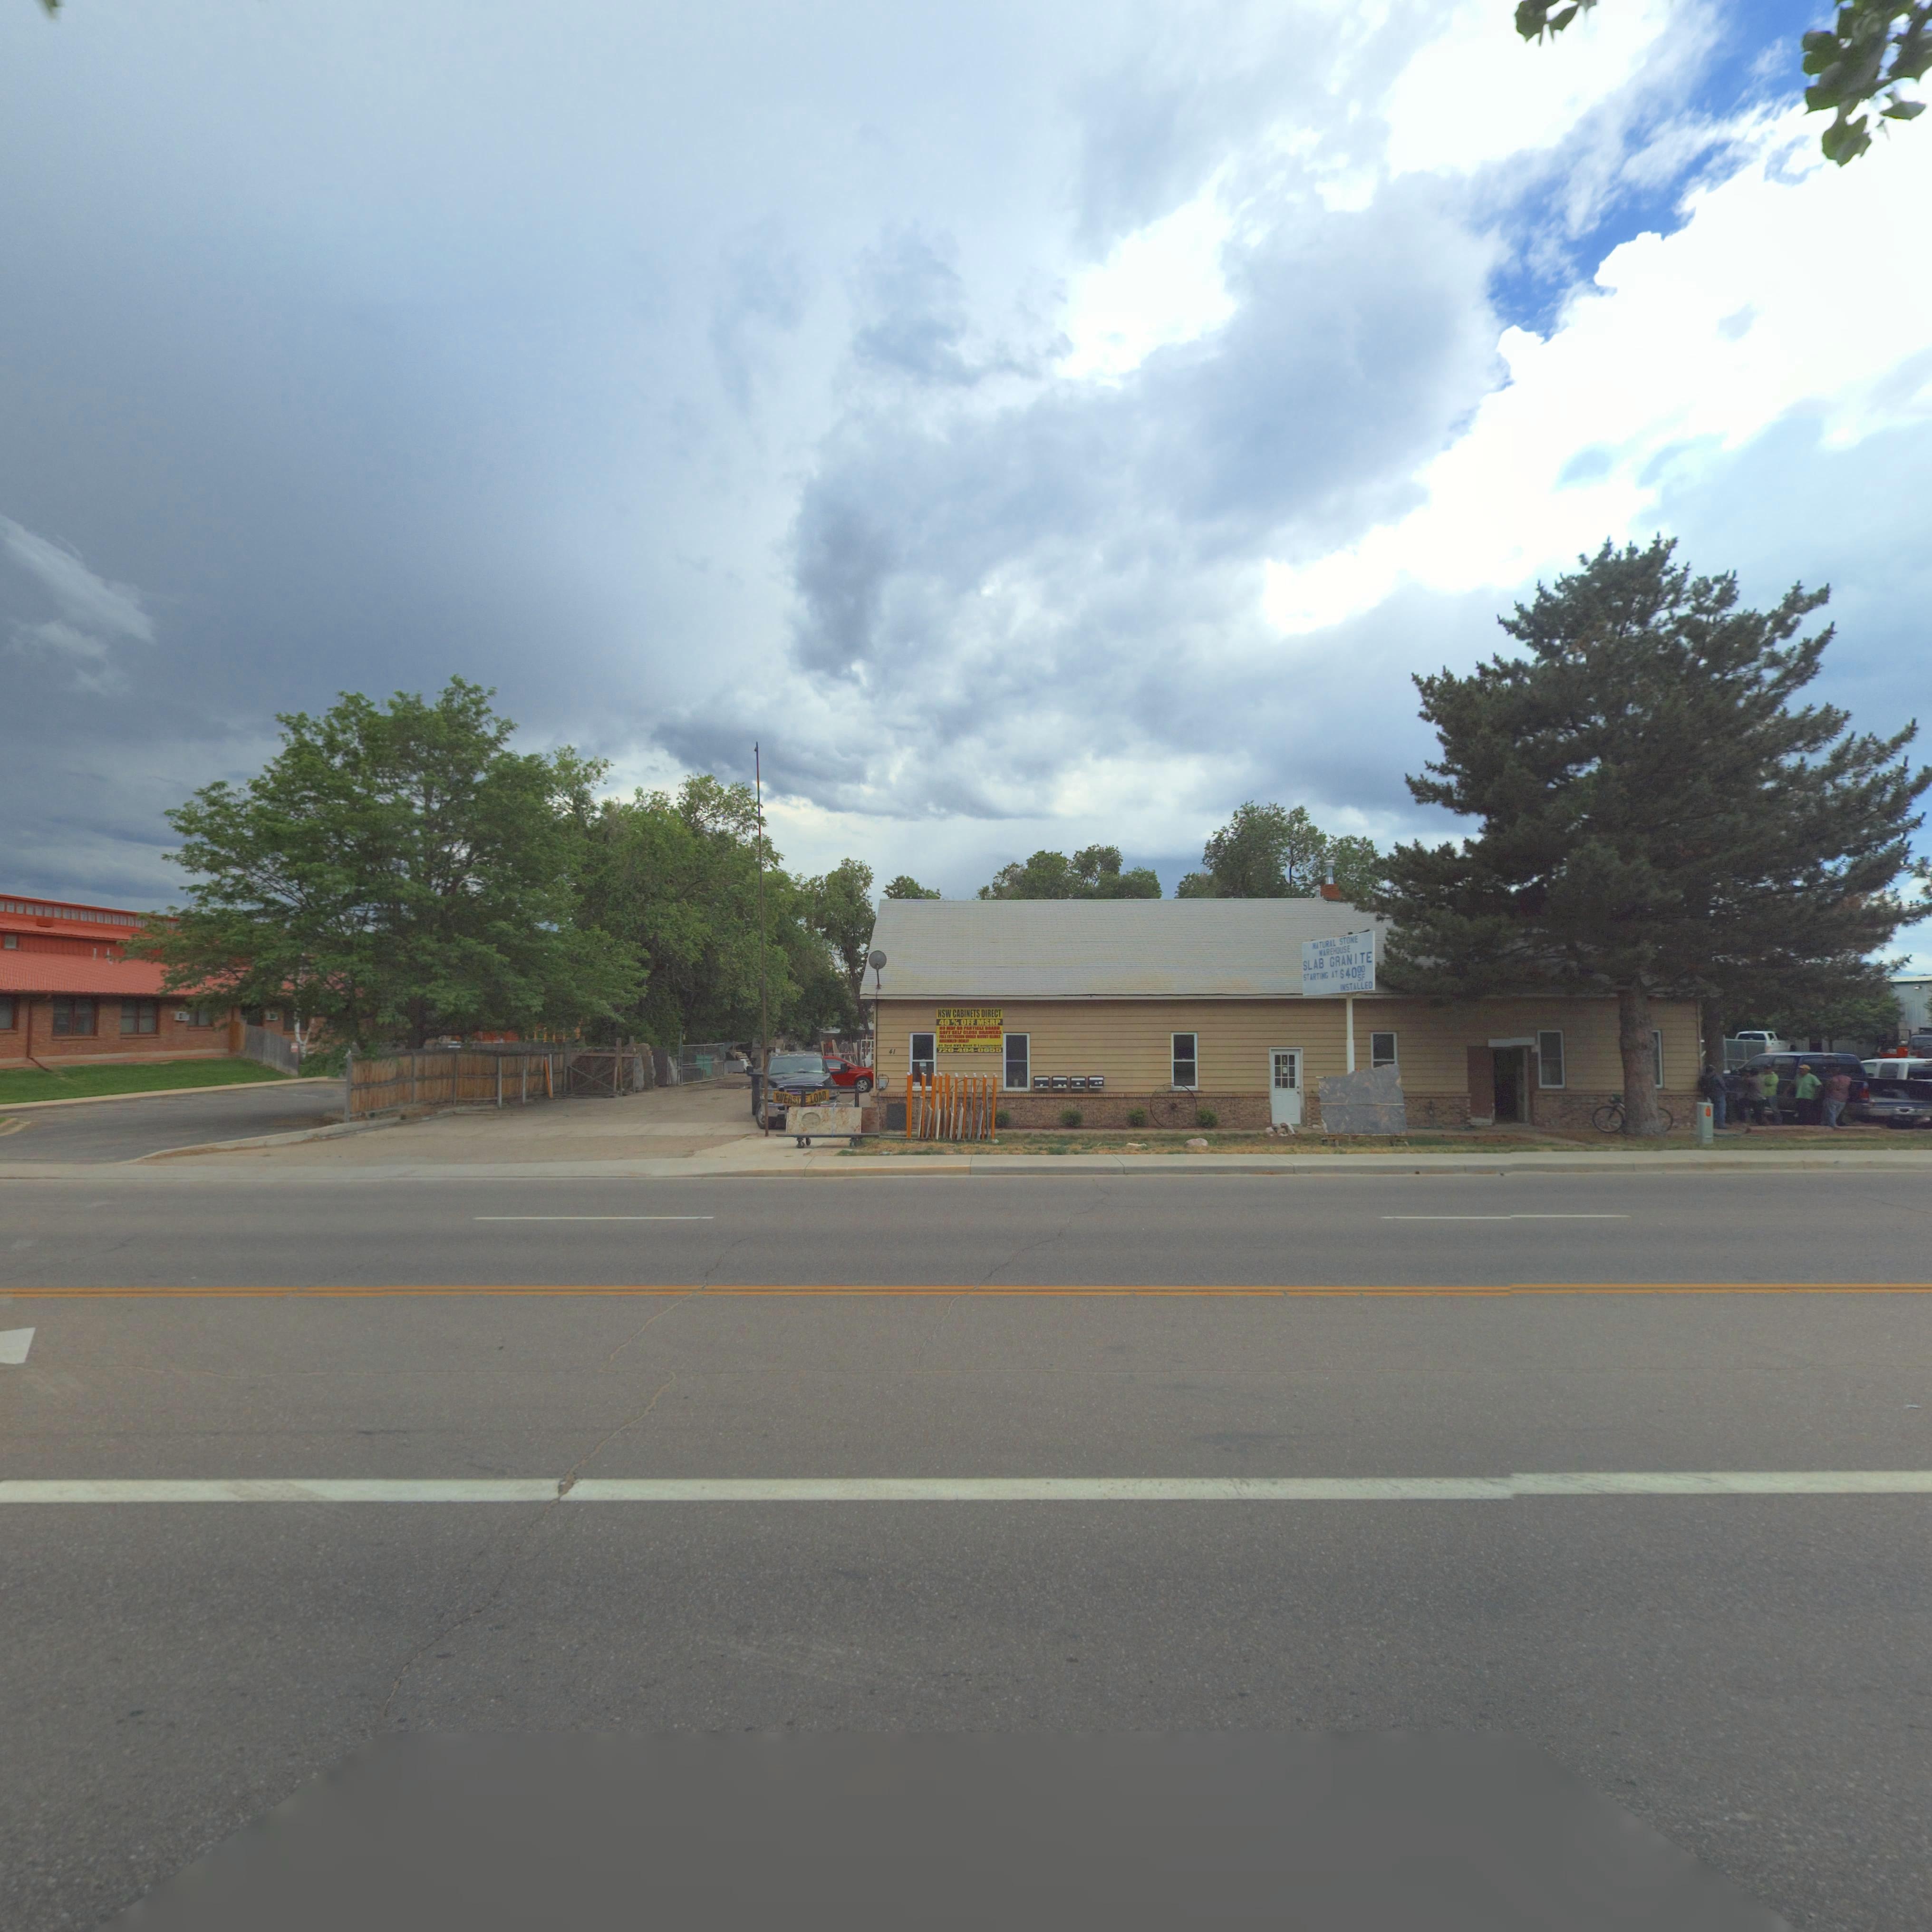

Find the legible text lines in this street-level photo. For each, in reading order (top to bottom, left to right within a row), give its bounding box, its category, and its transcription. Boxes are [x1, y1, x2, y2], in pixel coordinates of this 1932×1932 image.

[1311, 935, 1359, 950] BusinessName: NATURAL STONE
[1318, 944, 1351, 957] BusinessName: WAREHOUSE
[888, 1048, 896, 1054] StreetNumber: 41